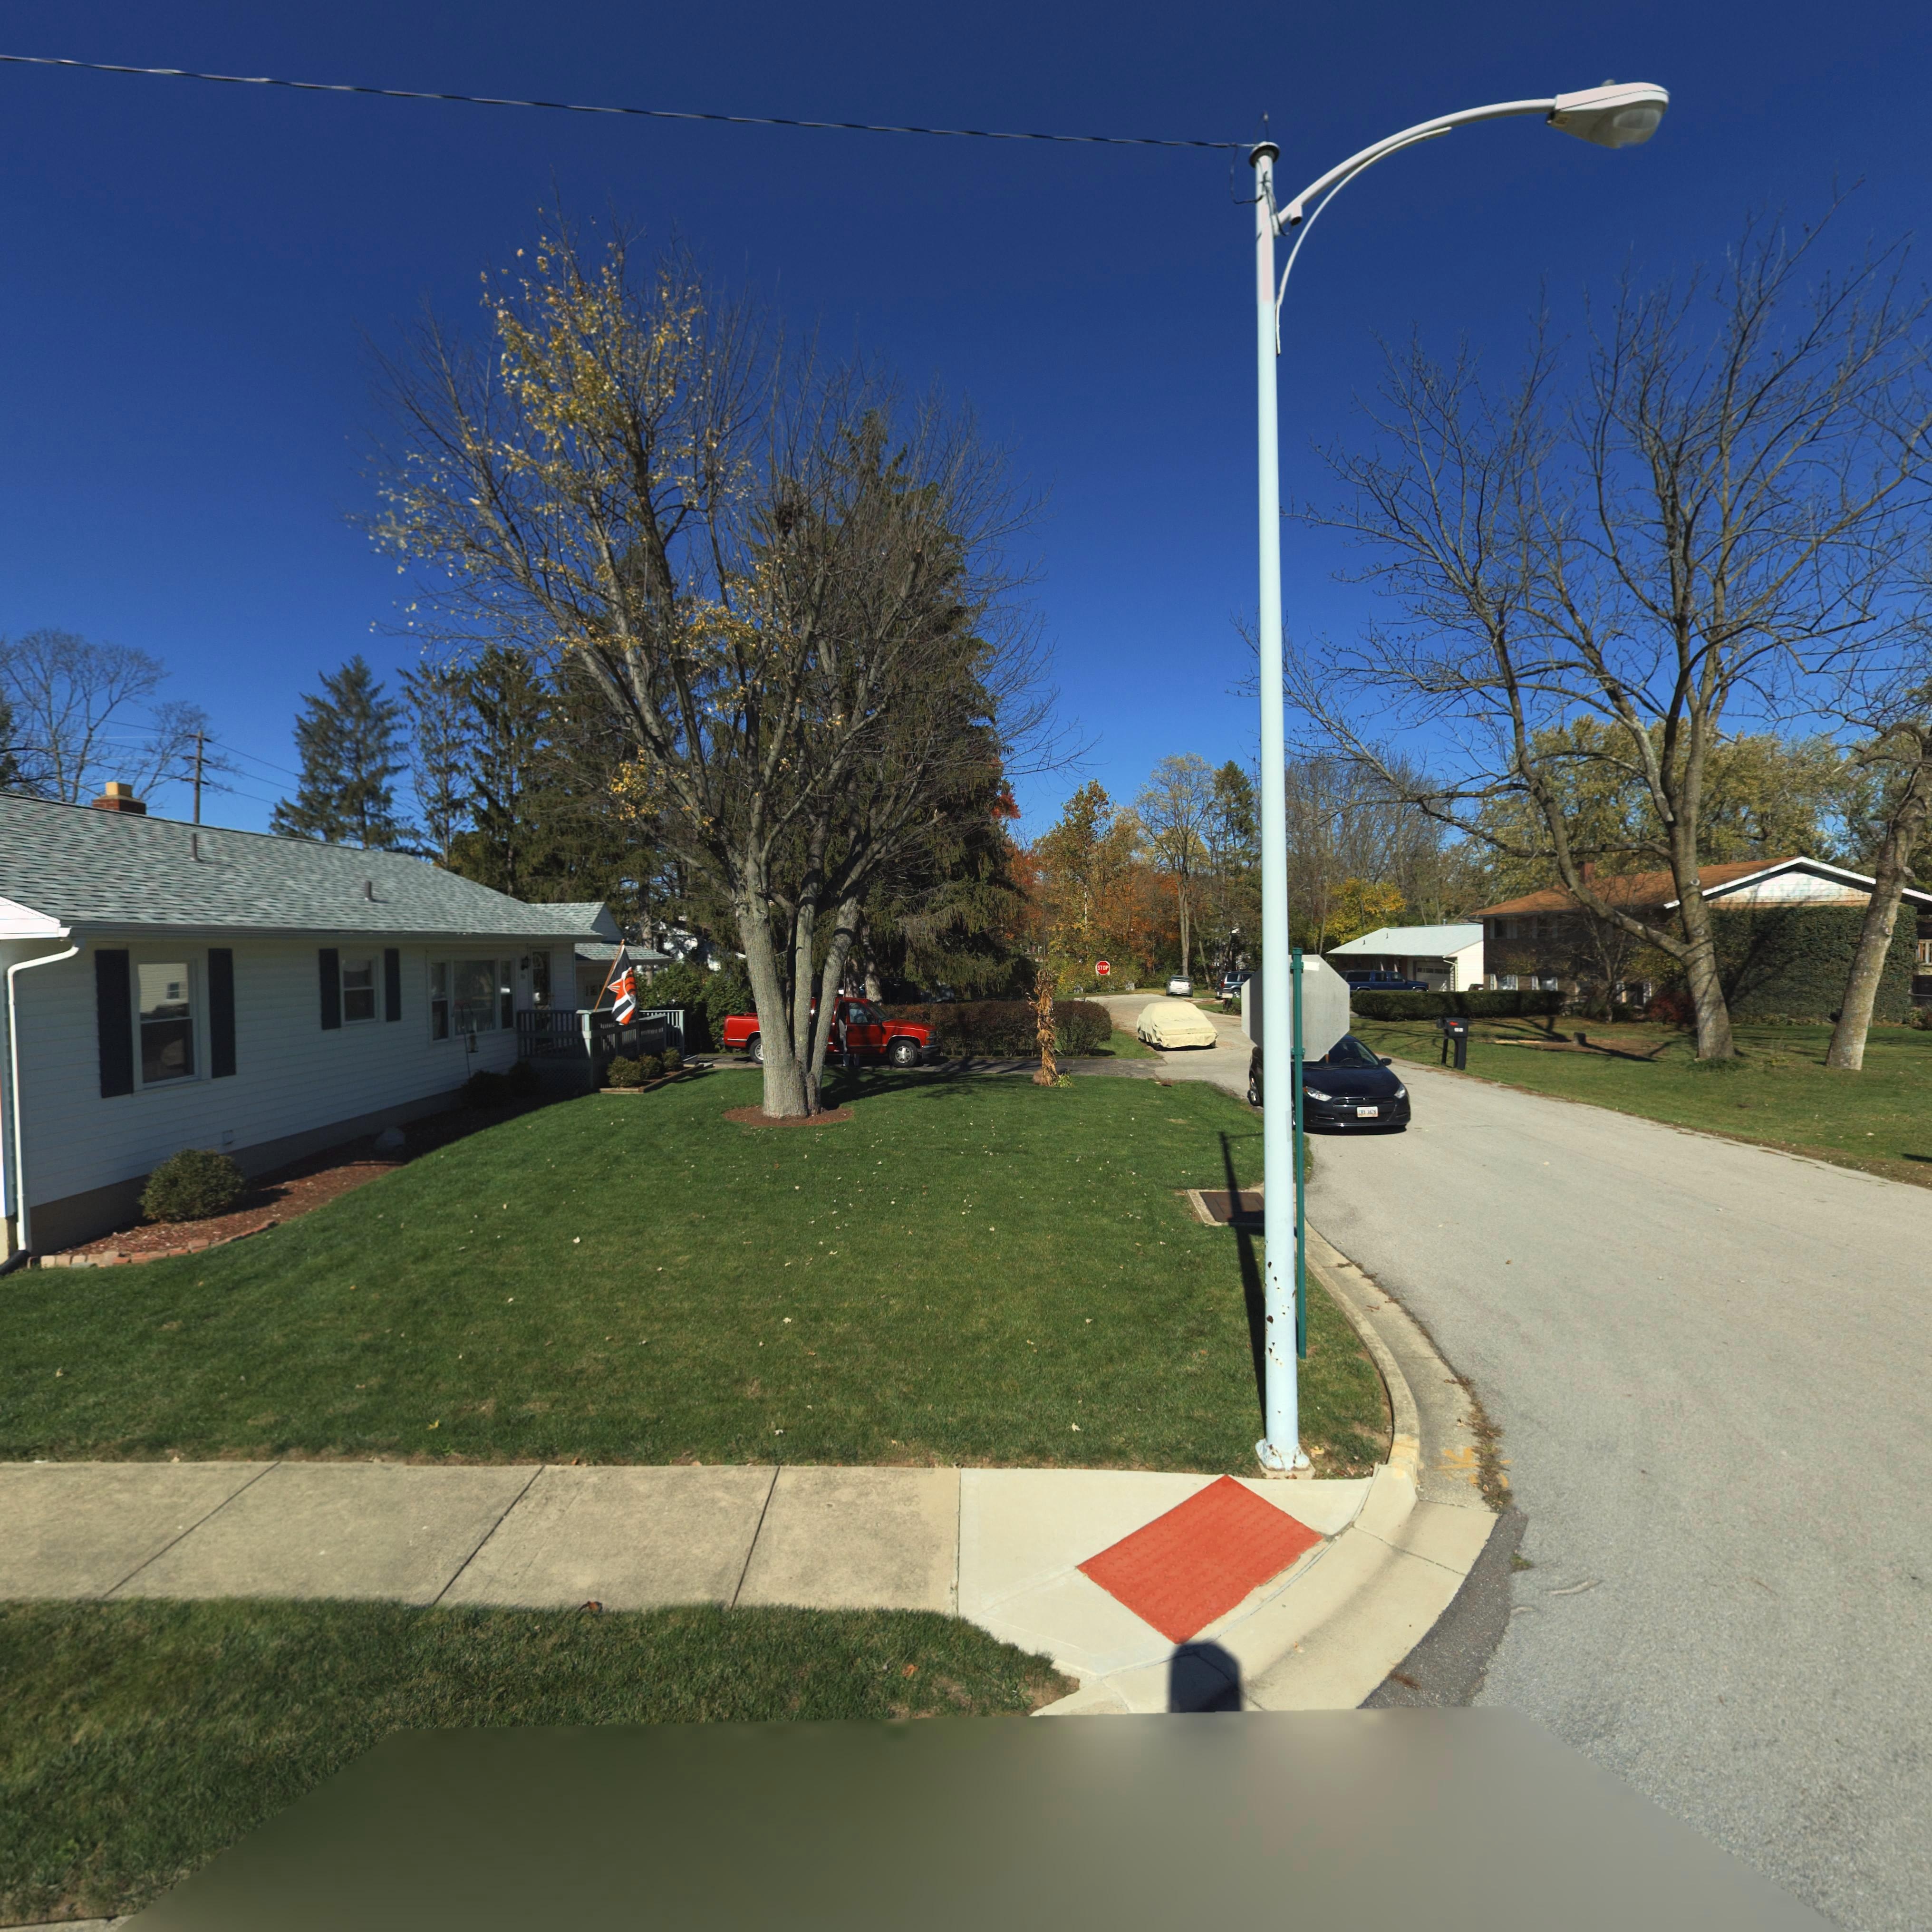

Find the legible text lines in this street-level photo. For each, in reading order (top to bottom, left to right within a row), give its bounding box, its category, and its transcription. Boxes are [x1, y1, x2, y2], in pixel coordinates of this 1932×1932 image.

[1457, 1028, 1460, 1032] StreetNumber: 2